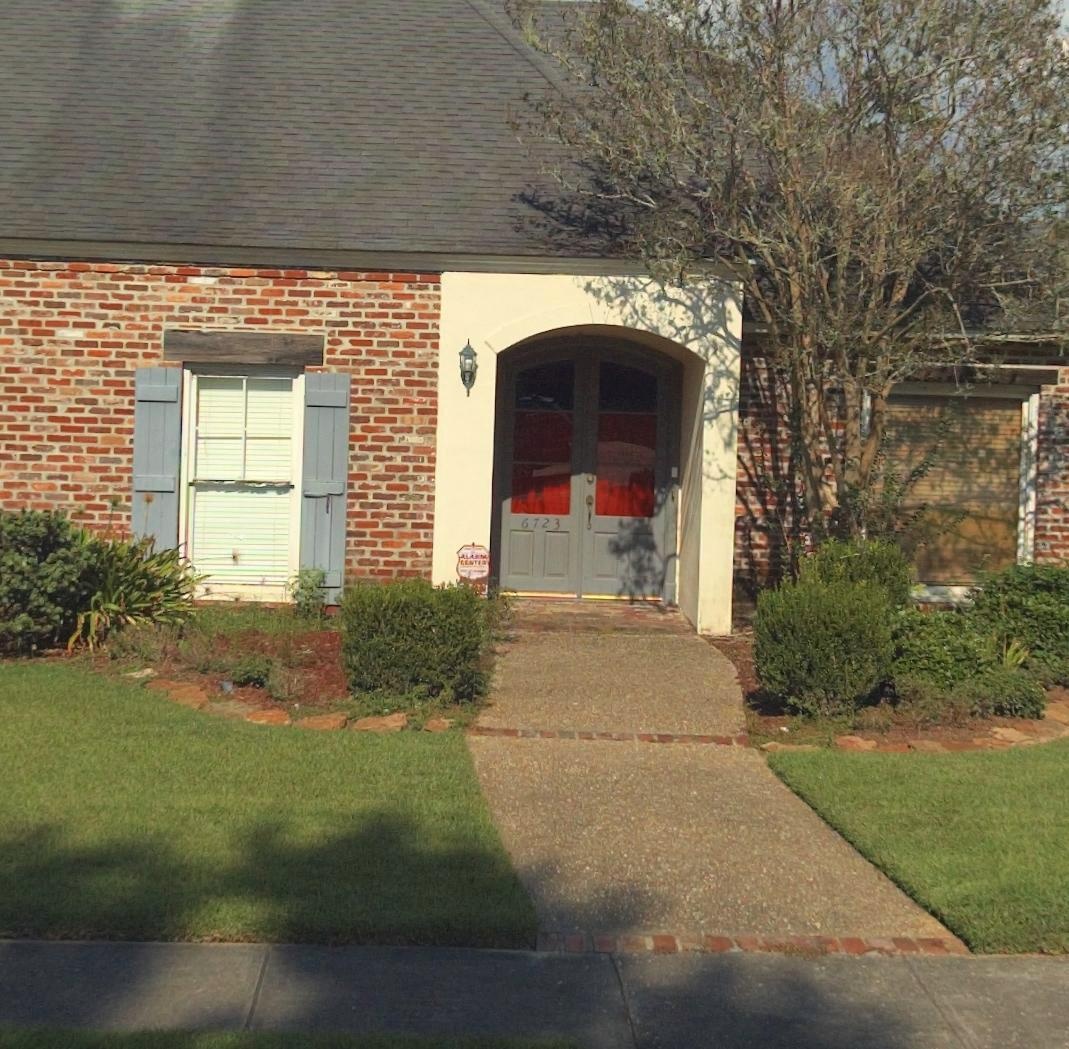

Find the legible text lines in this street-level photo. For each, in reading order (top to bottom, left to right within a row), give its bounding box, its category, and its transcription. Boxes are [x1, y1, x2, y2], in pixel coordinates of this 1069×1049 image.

[520, 517, 561, 531] StreetNumber: 6723
[458, 553, 488, 559] None: ALARM
[458, 559, 487, 566] None: *E*TER